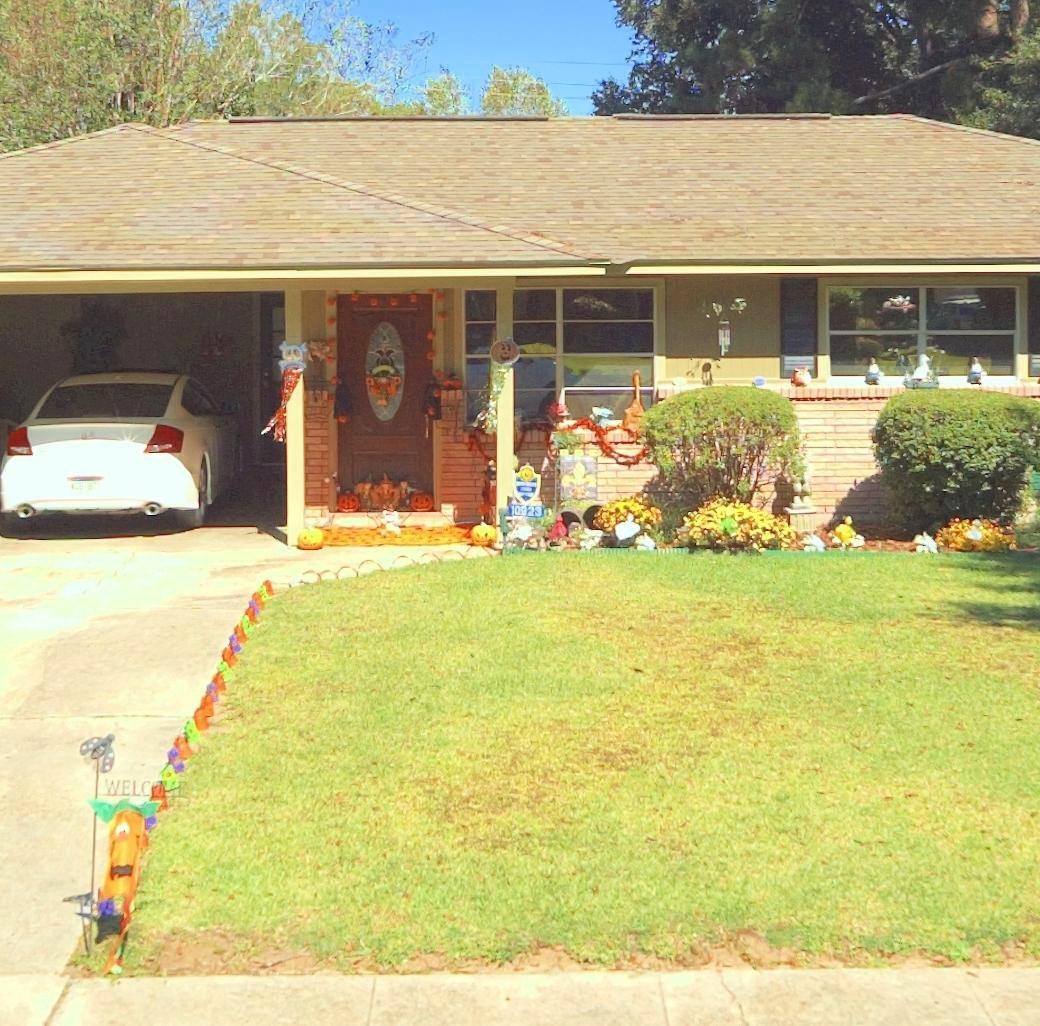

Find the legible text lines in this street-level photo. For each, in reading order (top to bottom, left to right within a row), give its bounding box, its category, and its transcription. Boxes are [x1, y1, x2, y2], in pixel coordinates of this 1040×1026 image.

[509, 504, 544, 519] StreetNumber: 10923
[101, 776, 190, 801] None: WELC**E